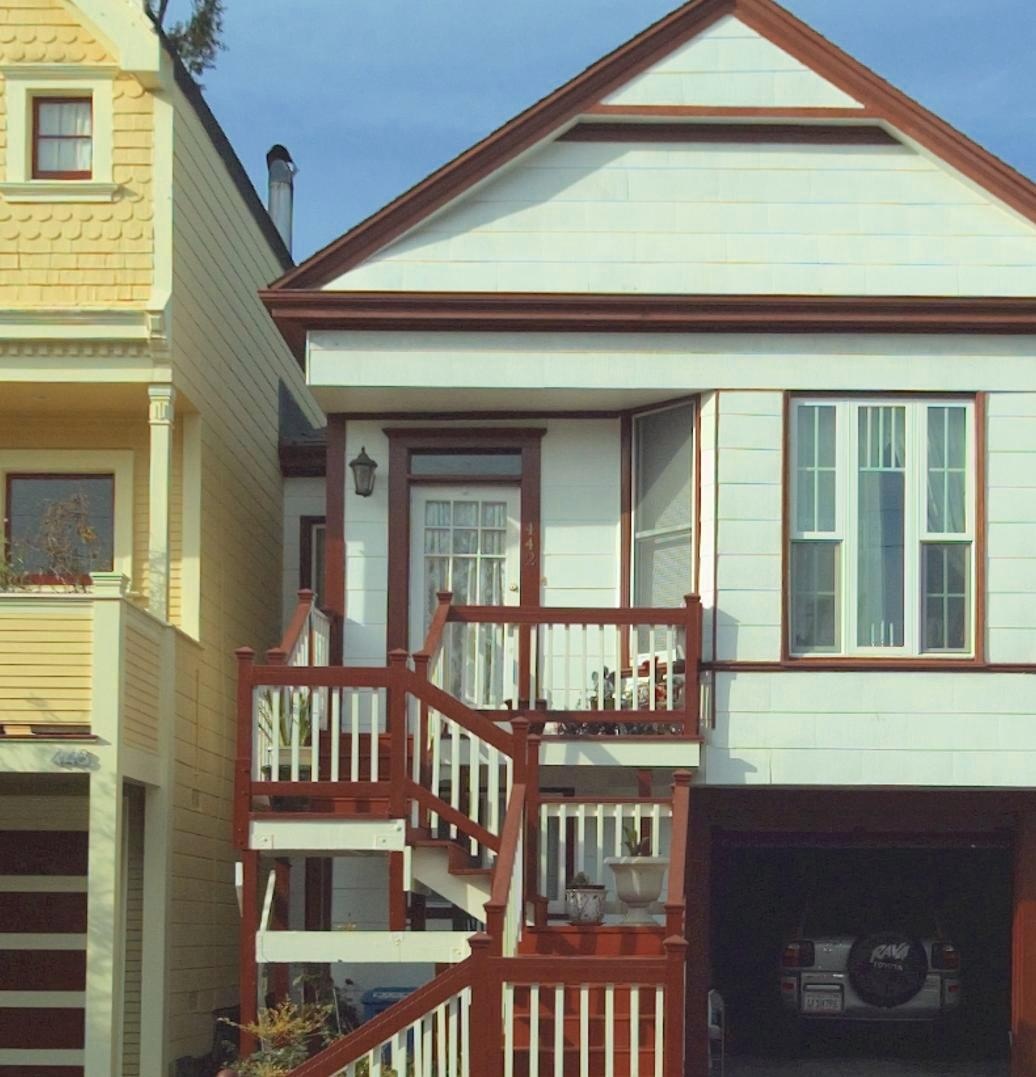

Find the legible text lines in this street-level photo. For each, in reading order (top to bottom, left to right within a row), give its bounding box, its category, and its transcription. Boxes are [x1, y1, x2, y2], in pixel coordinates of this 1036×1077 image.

[523, 521, 536, 568] StreetNumber: 442
[869, 942, 911, 962] None: RAV4
[872, 960, 904, 972] None: TOYOTA